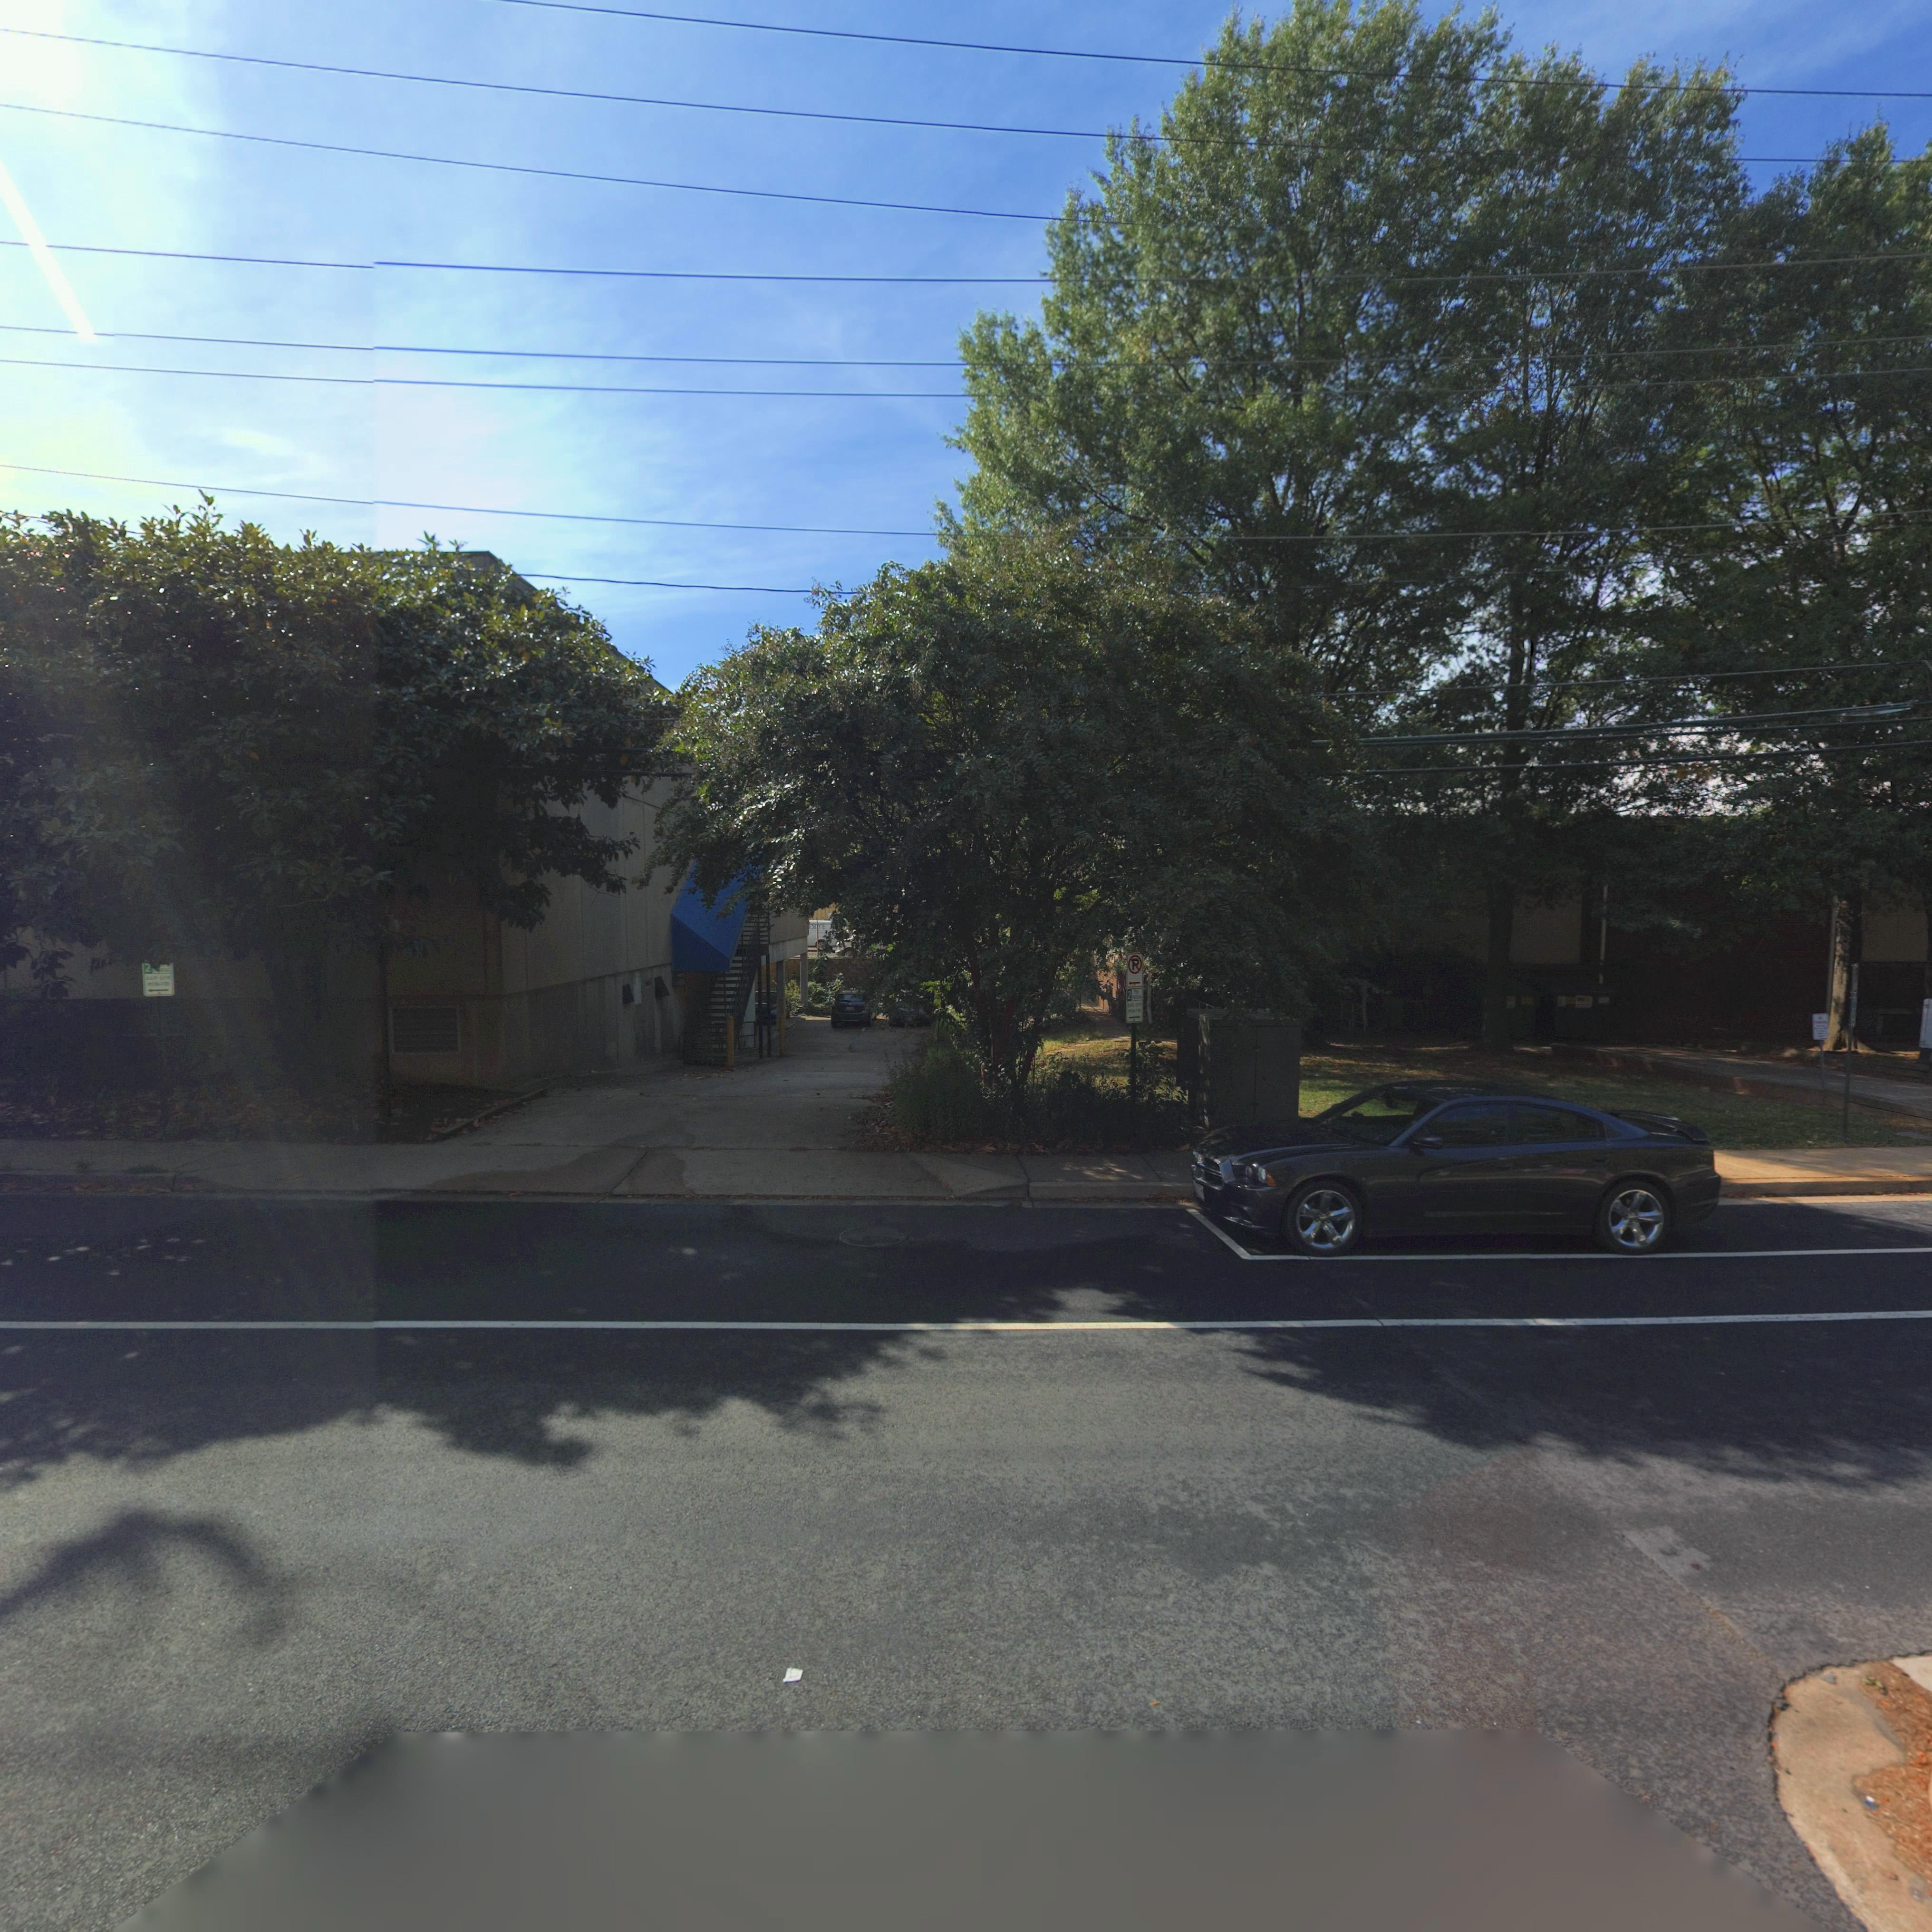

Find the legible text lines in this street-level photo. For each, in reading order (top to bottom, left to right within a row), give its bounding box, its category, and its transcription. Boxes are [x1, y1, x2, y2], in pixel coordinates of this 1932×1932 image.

[811, 923, 826, 930] None: SLYE
[144, 963, 151, 973] None: 2
[1127, 990, 1131, 999] None: 2
[1128, 1008, 1141, 1014] None: MON-FRI